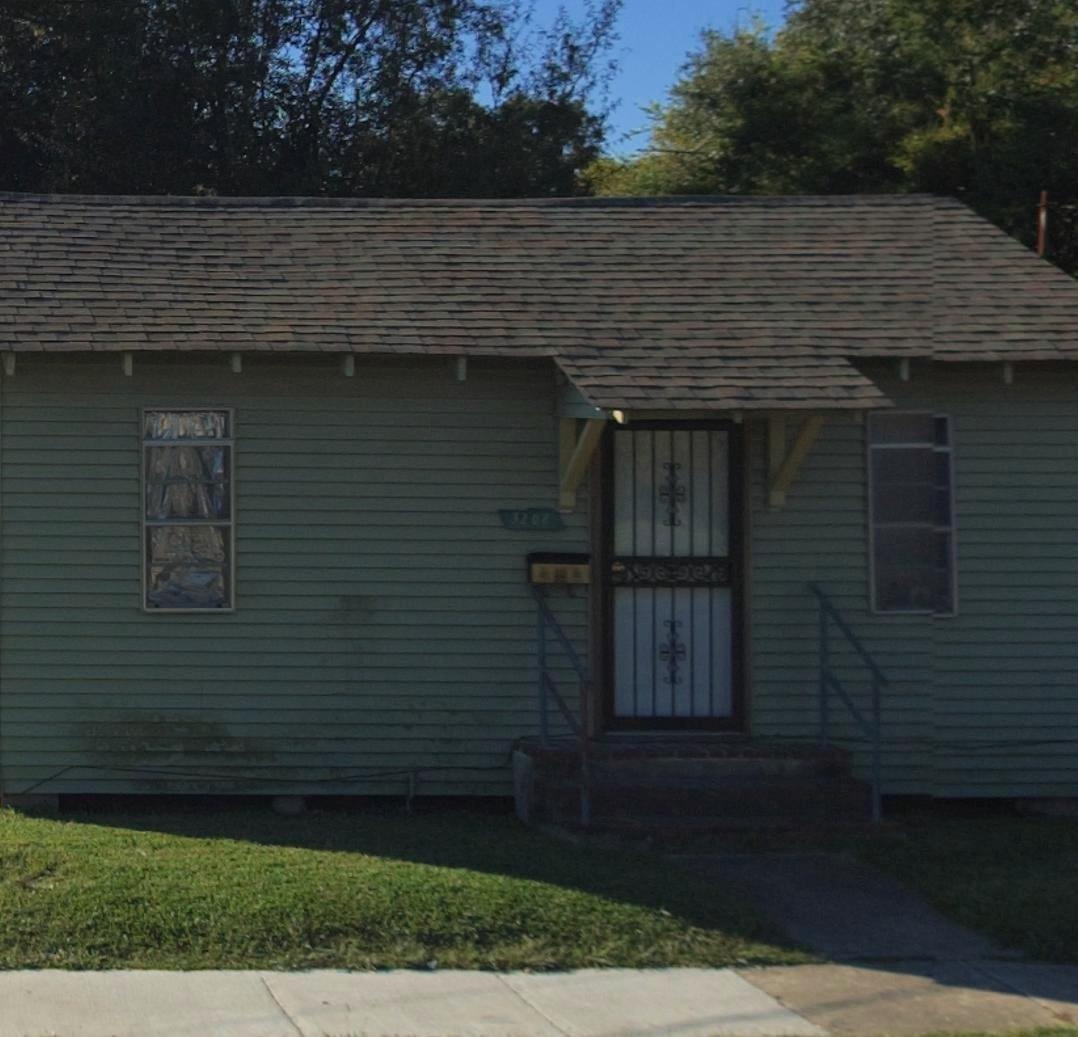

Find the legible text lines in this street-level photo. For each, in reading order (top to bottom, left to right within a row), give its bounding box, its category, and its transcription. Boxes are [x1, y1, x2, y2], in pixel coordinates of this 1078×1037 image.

[507, 509, 554, 528] StreetNumber: 3208